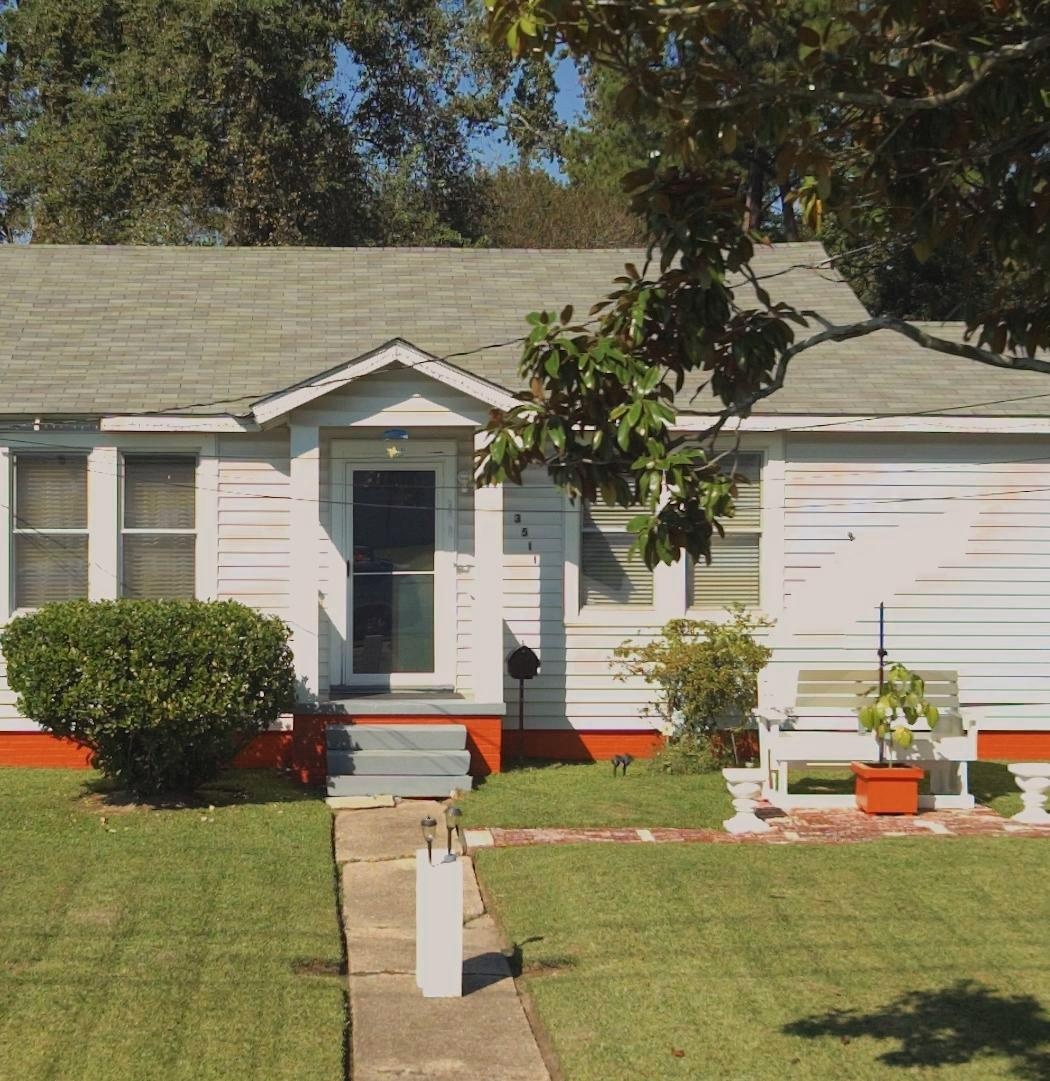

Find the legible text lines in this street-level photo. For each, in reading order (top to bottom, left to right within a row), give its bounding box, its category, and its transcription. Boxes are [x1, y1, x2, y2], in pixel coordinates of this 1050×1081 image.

[512, 512, 539, 567] StreetNumber: 3511